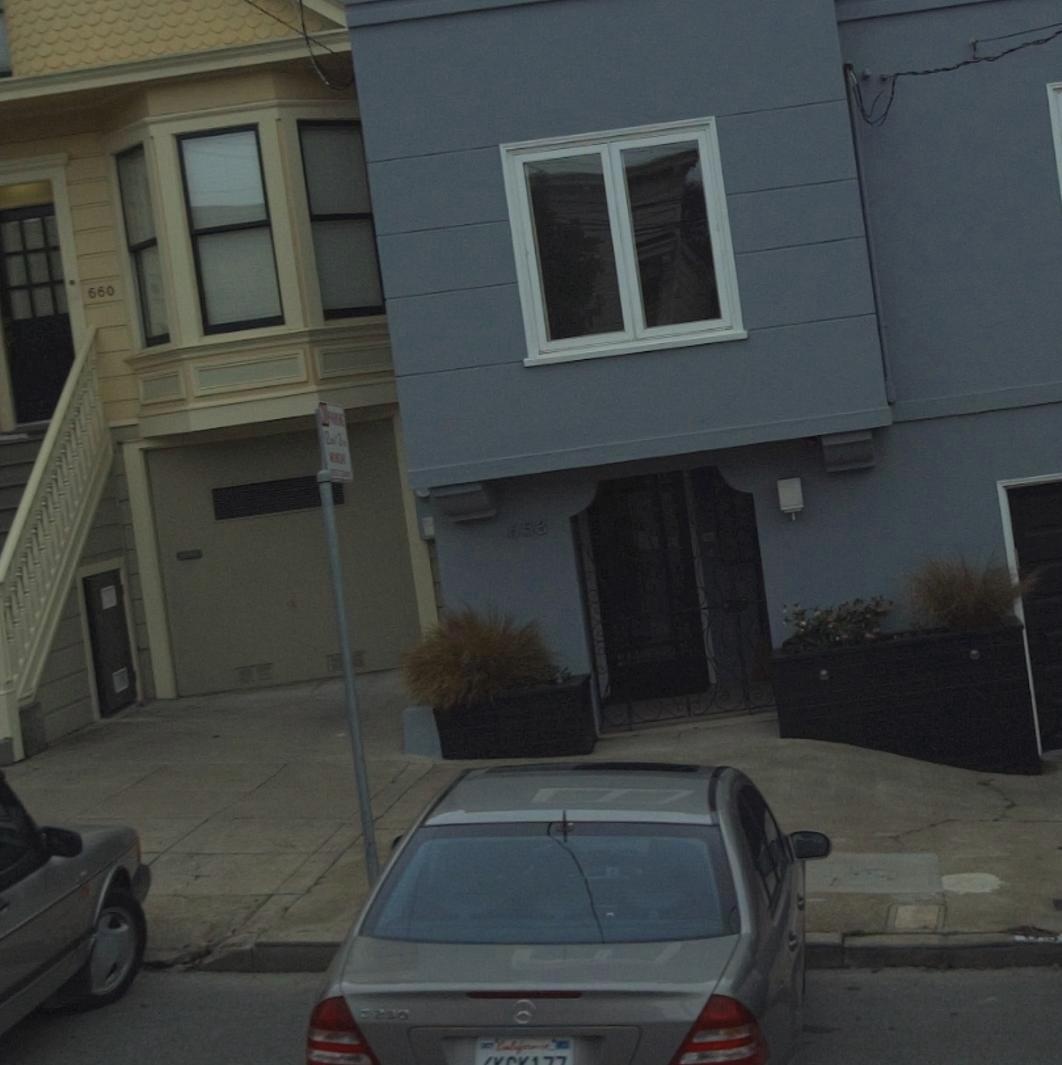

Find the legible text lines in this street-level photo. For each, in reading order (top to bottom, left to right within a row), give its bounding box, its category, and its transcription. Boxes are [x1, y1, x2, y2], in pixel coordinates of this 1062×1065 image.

[88, 284, 117, 300] StreetNumber: 660
[506, 516, 548, 540] StreetNumber: 658